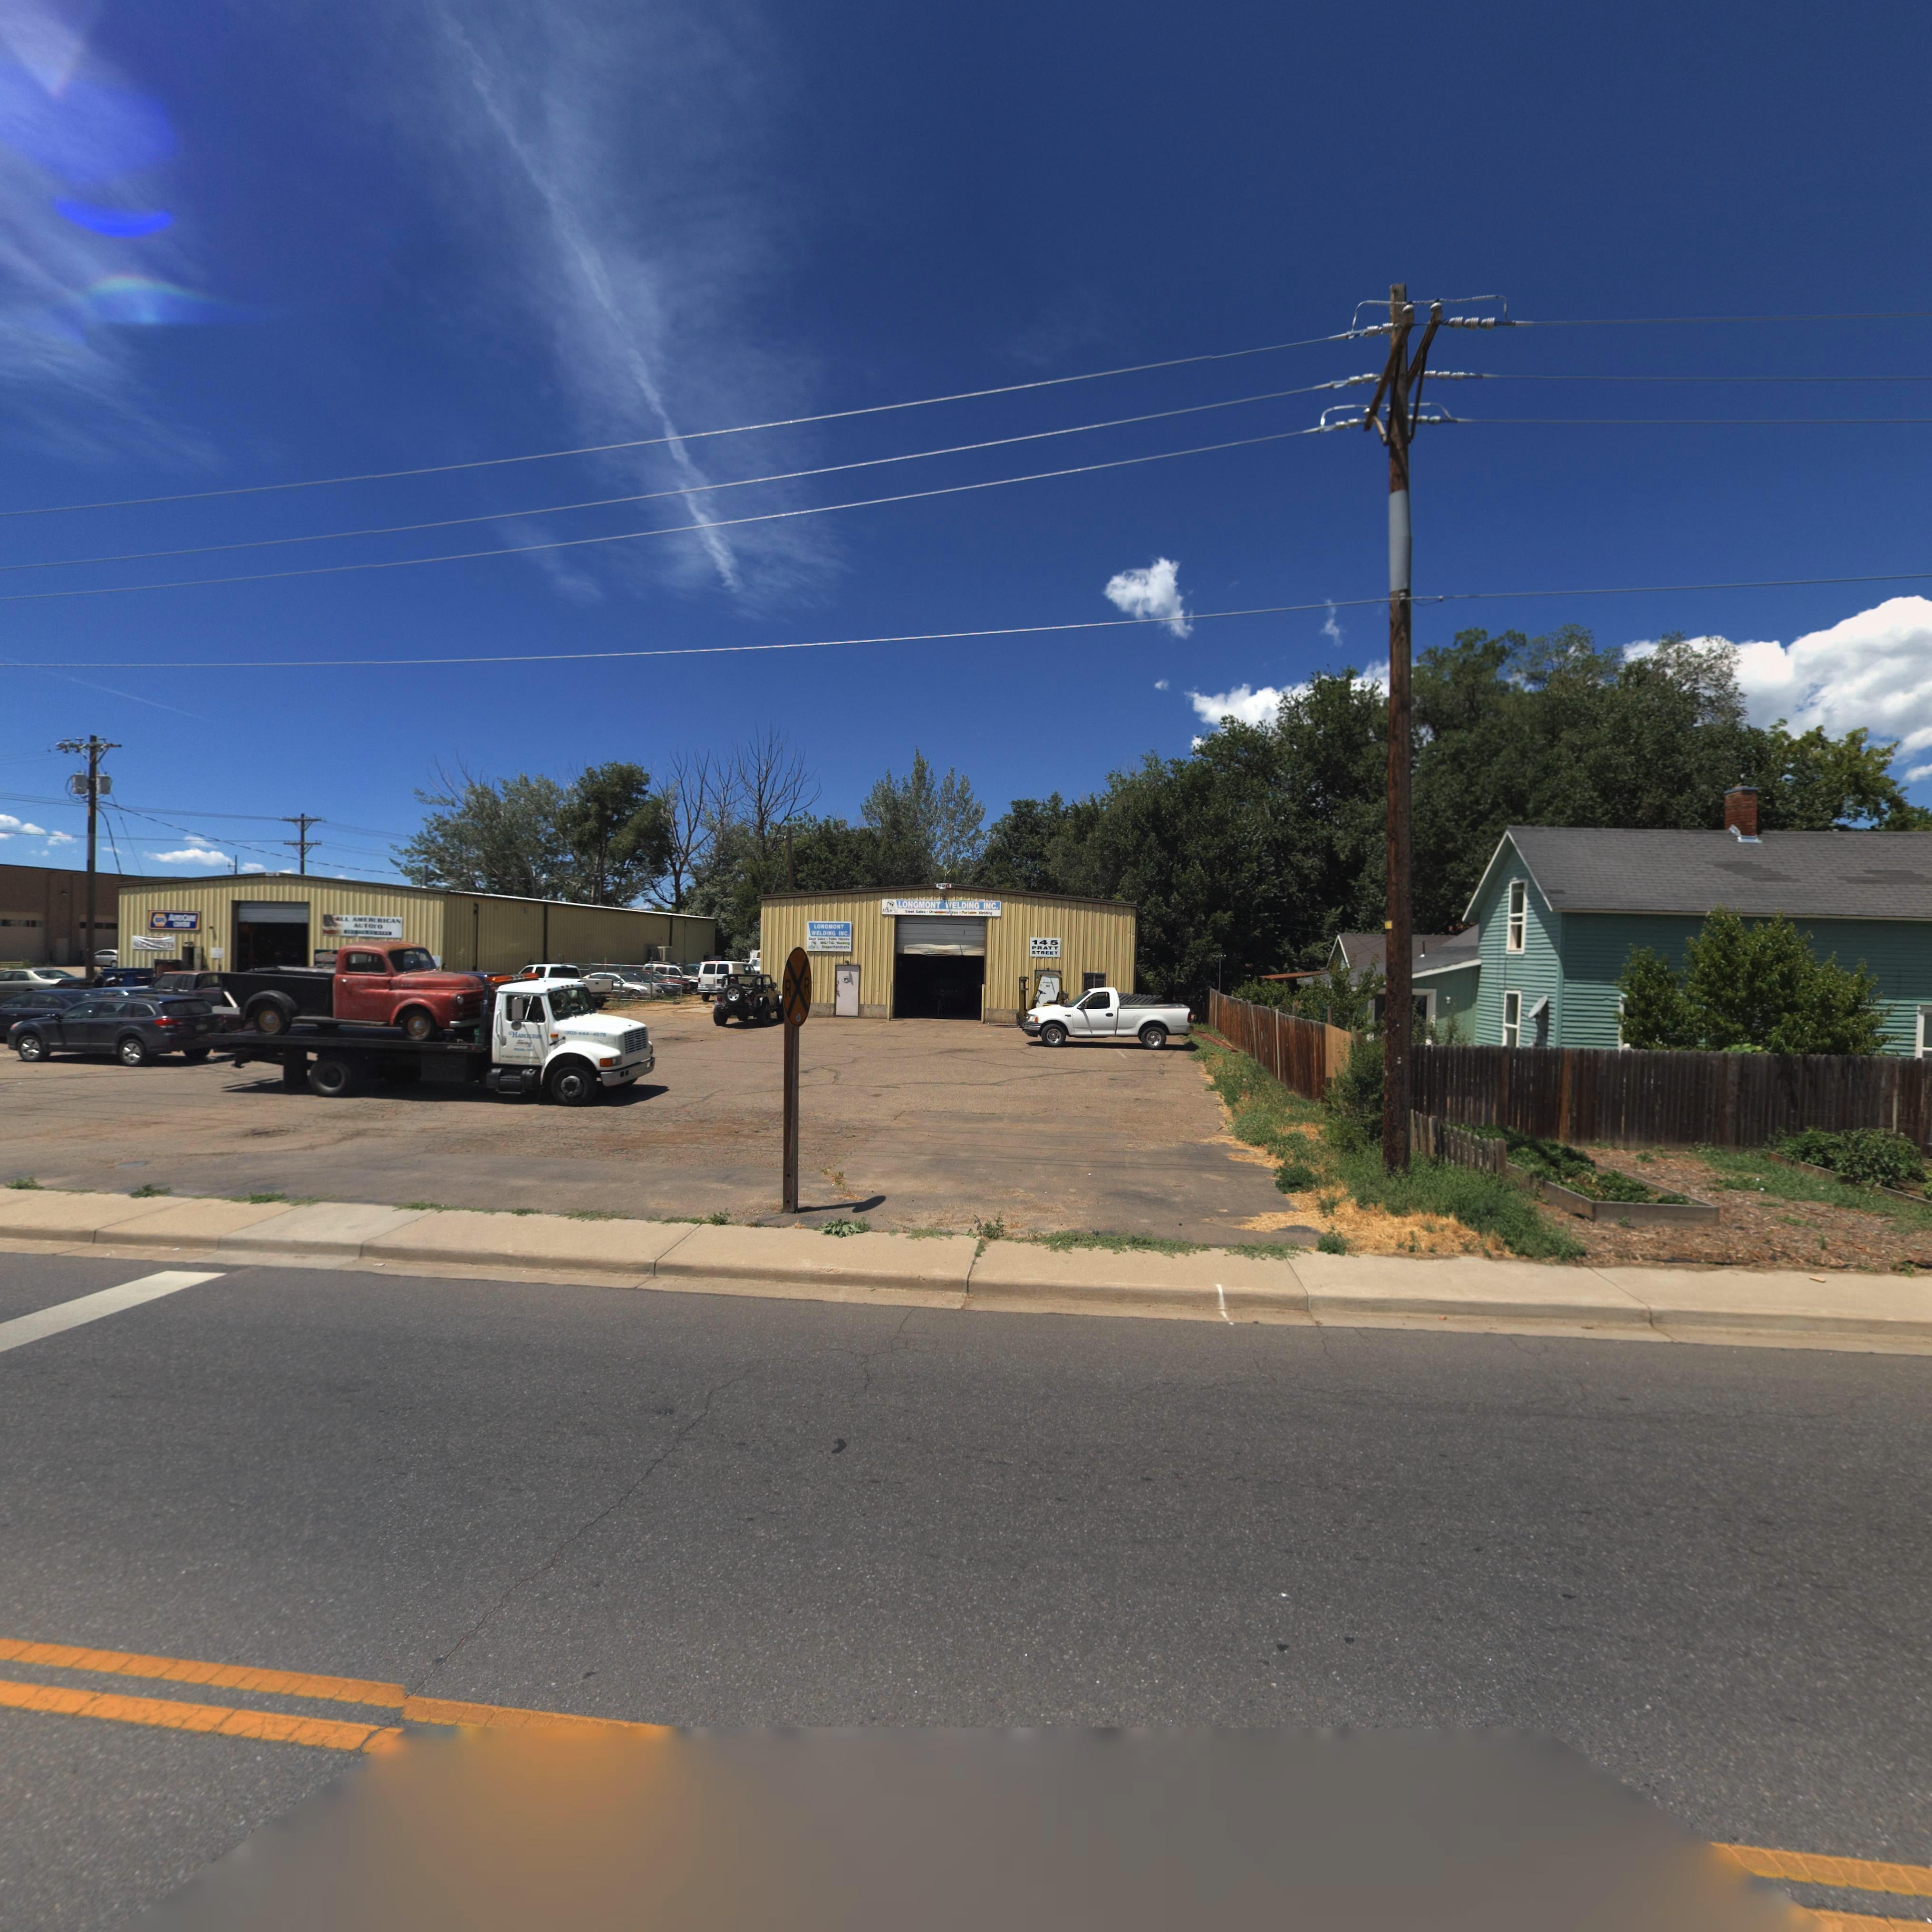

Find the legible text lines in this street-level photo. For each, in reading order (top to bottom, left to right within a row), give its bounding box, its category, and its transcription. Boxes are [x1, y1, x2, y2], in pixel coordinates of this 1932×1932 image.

[898, 900, 998, 909] BusinessName: LONGMONT WELDING INC.
[155, 917, 165, 922] BusinessName: NAPA
[167, 913, 197, 921] BusinessName: ***OC***
[334, 916, 401, 924] BusinessName: ALL AMERICAN
[173, 921, 190, 927] BusinessName: CENTER
[352, 923, 383, 929] BusinessName: AUTOTO
[813, 923, 844, 929] BusinessName: LONGMONT
[811, 930, 850, 936] BusinessName: WELDING INC.
[1032, 939, 1059, 945] StreetNumber: 145
[1032, 946, 1059, 950] StreetName: PRATT
[1032, 950, 1058, 955] StreetName: STREET